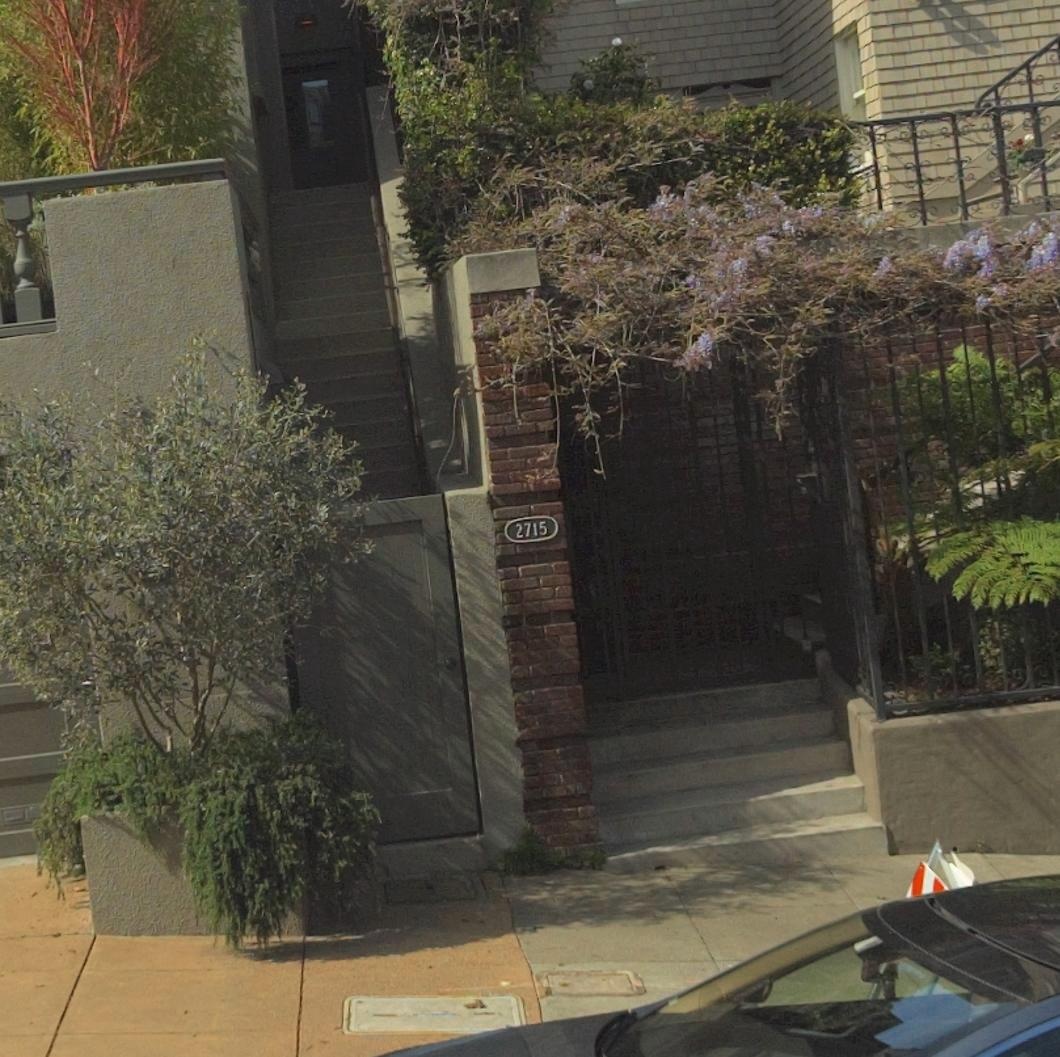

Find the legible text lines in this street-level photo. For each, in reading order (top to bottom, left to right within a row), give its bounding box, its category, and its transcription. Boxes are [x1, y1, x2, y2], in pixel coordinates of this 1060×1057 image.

[513, 518, 550, 540] StreetNumber: 2715